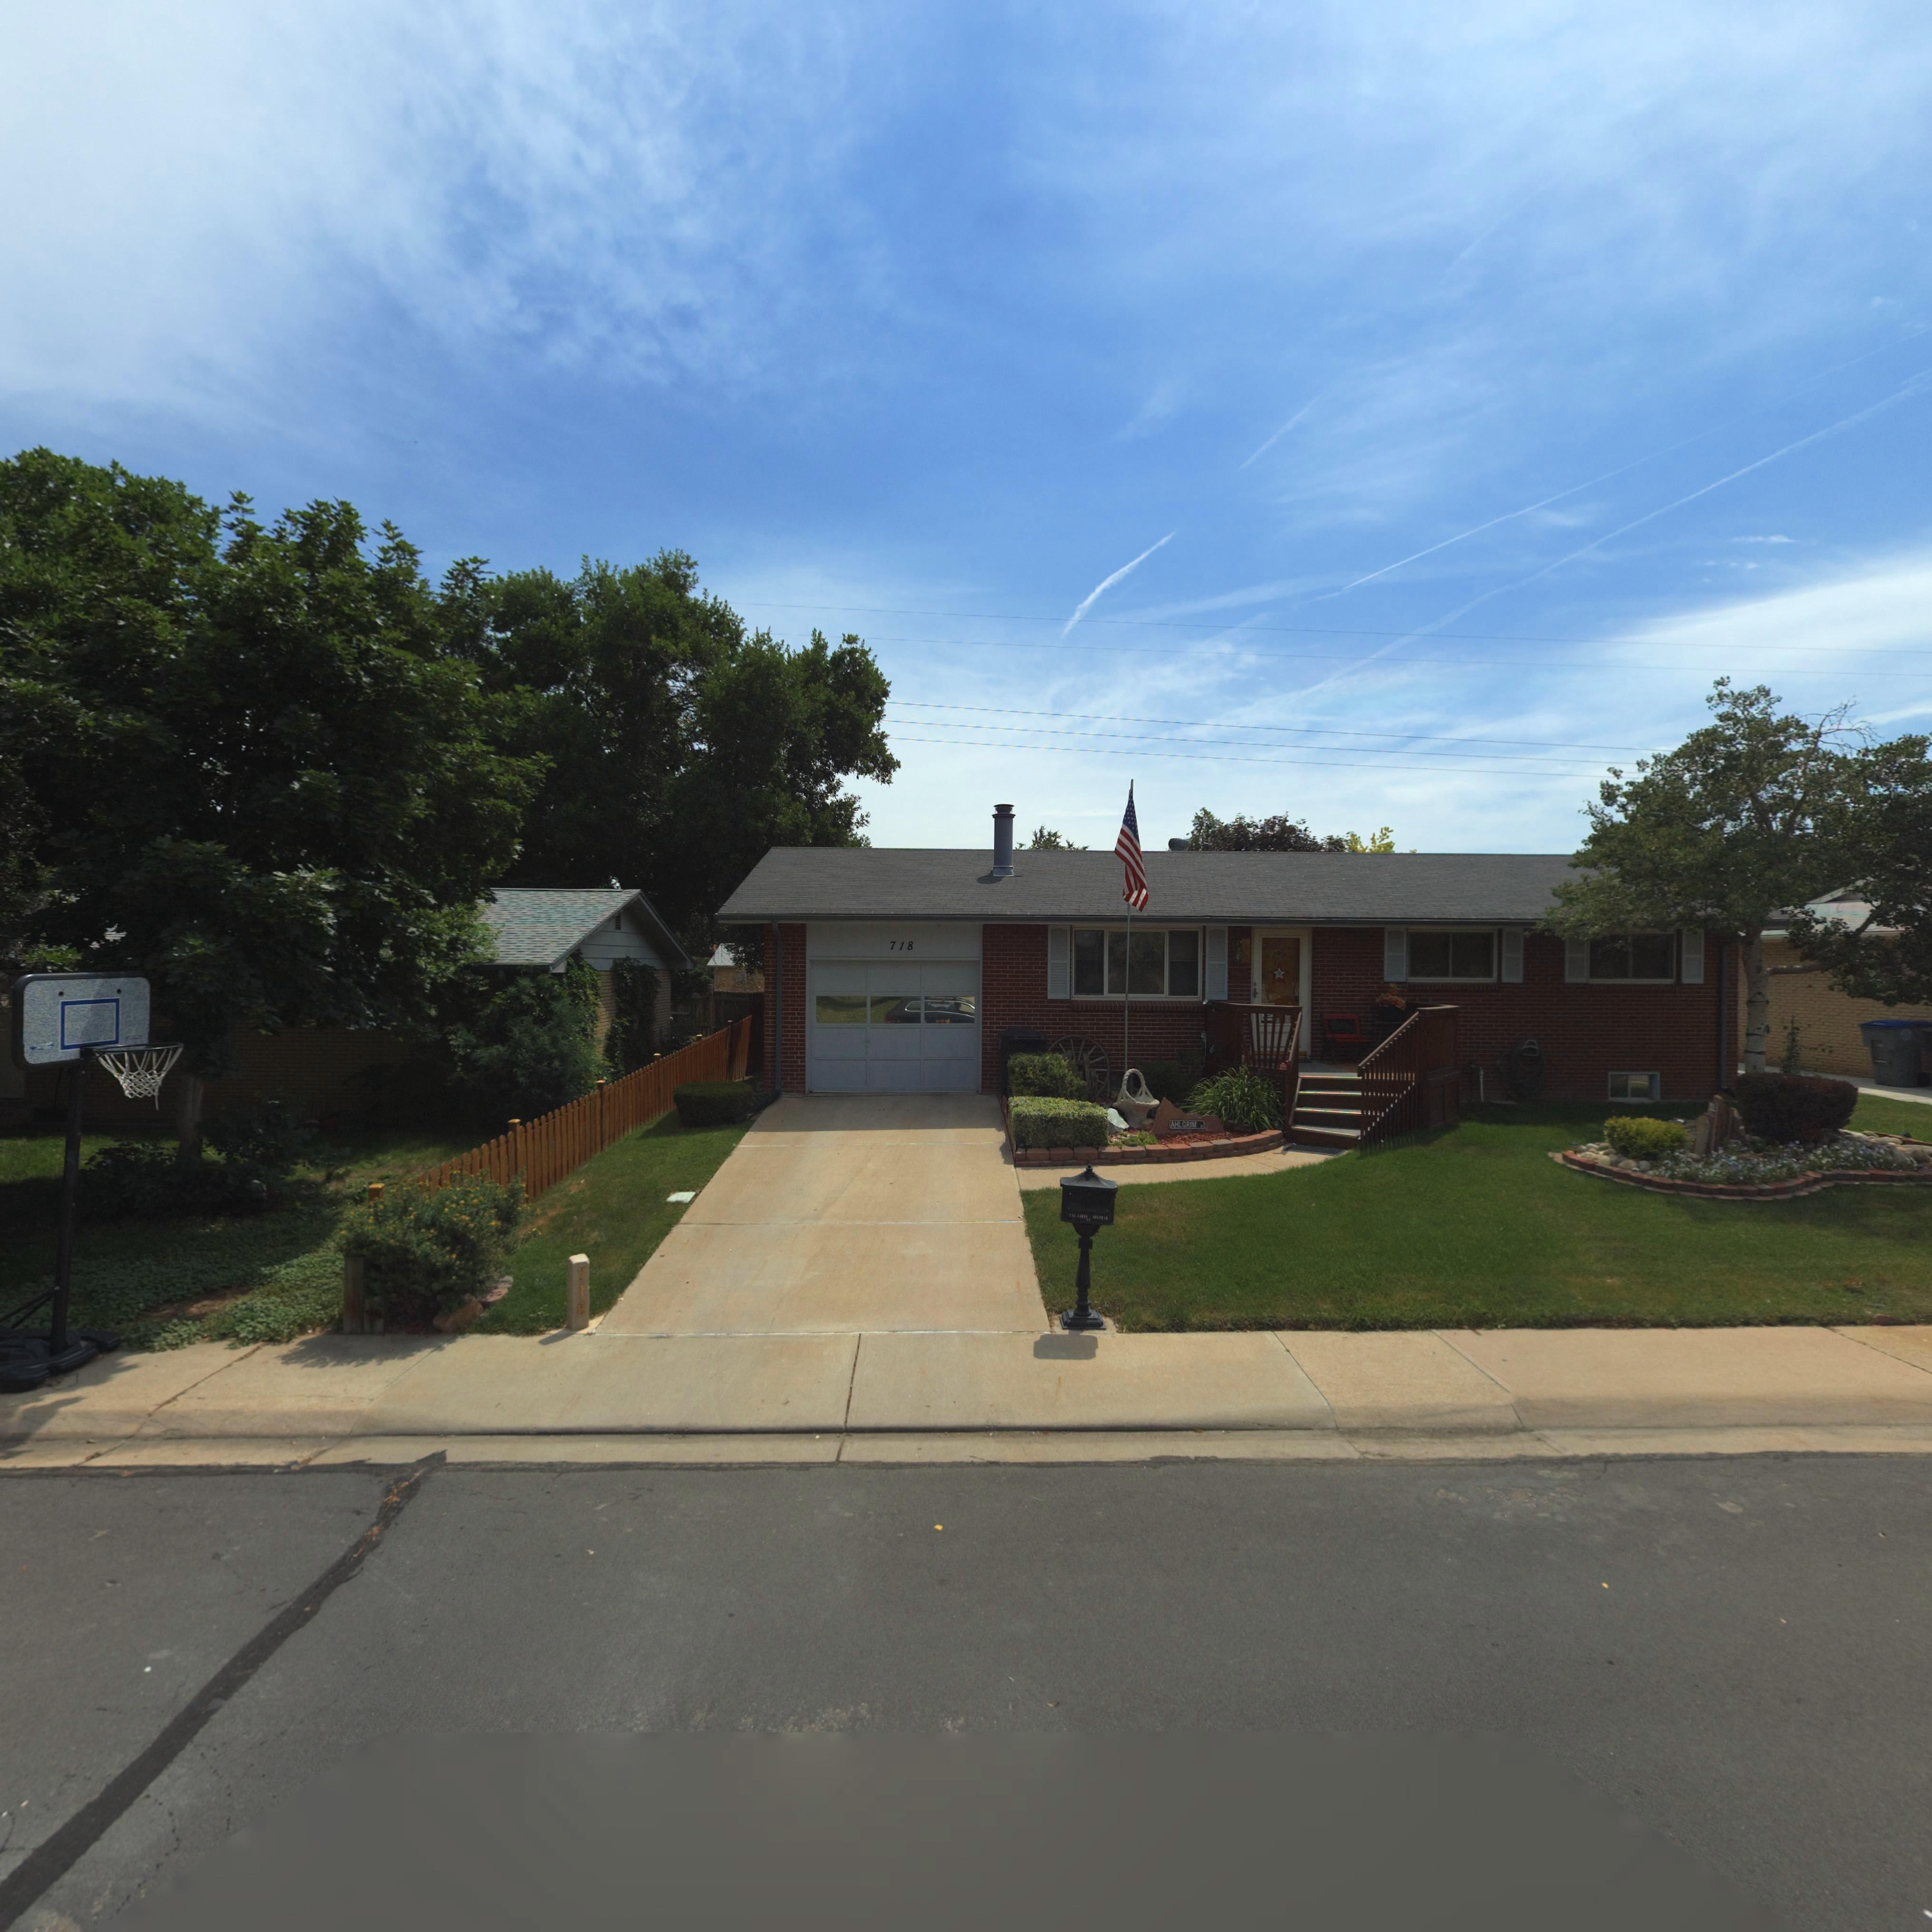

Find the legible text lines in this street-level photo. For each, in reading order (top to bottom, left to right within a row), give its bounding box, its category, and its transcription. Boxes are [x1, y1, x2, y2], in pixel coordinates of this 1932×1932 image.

[888, 939, 914, 951] StreetNumber: 718